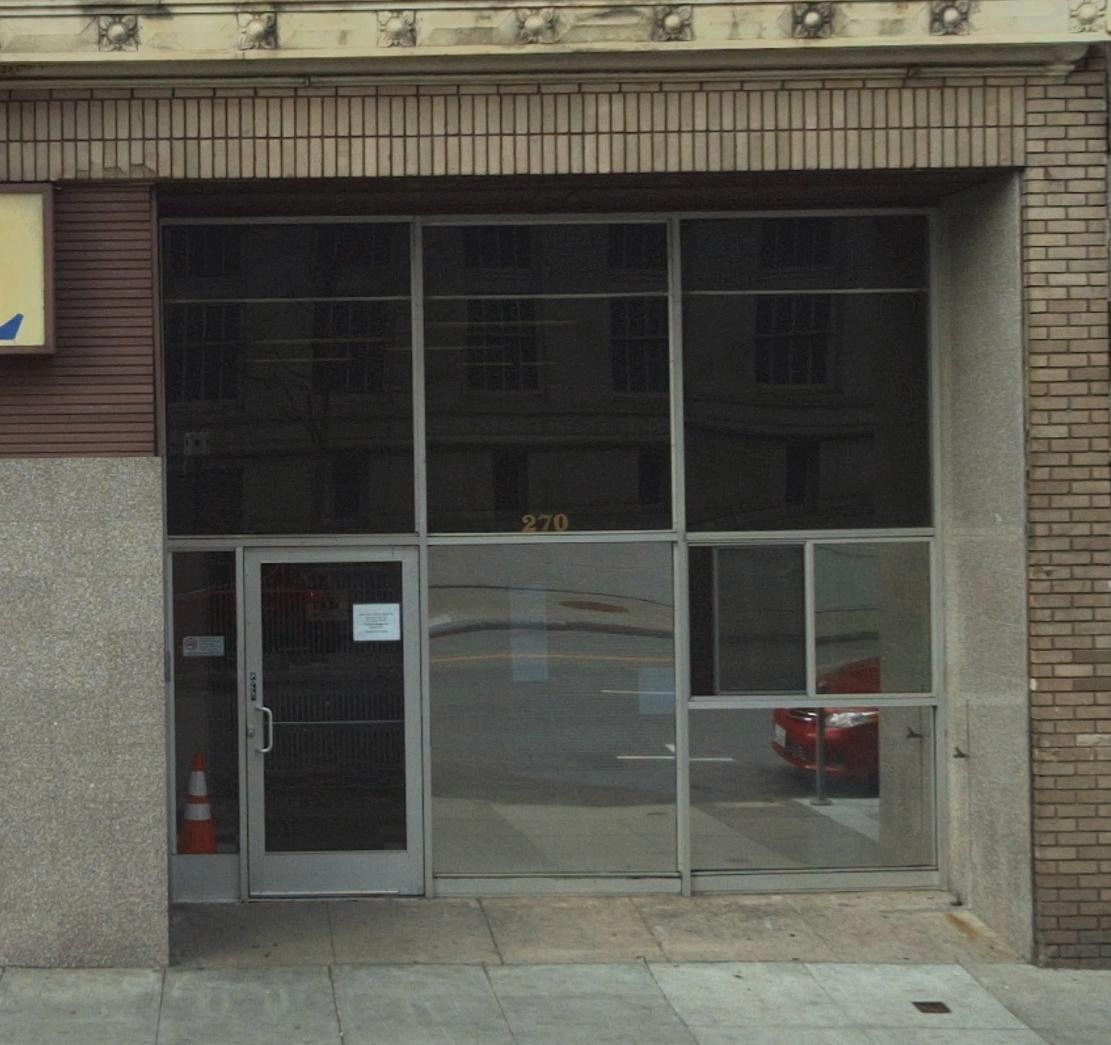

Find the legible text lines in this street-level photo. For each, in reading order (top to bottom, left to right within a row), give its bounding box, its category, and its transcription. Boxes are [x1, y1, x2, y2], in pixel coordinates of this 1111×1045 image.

[520, 513, 570, 533] StreetNumber: 270